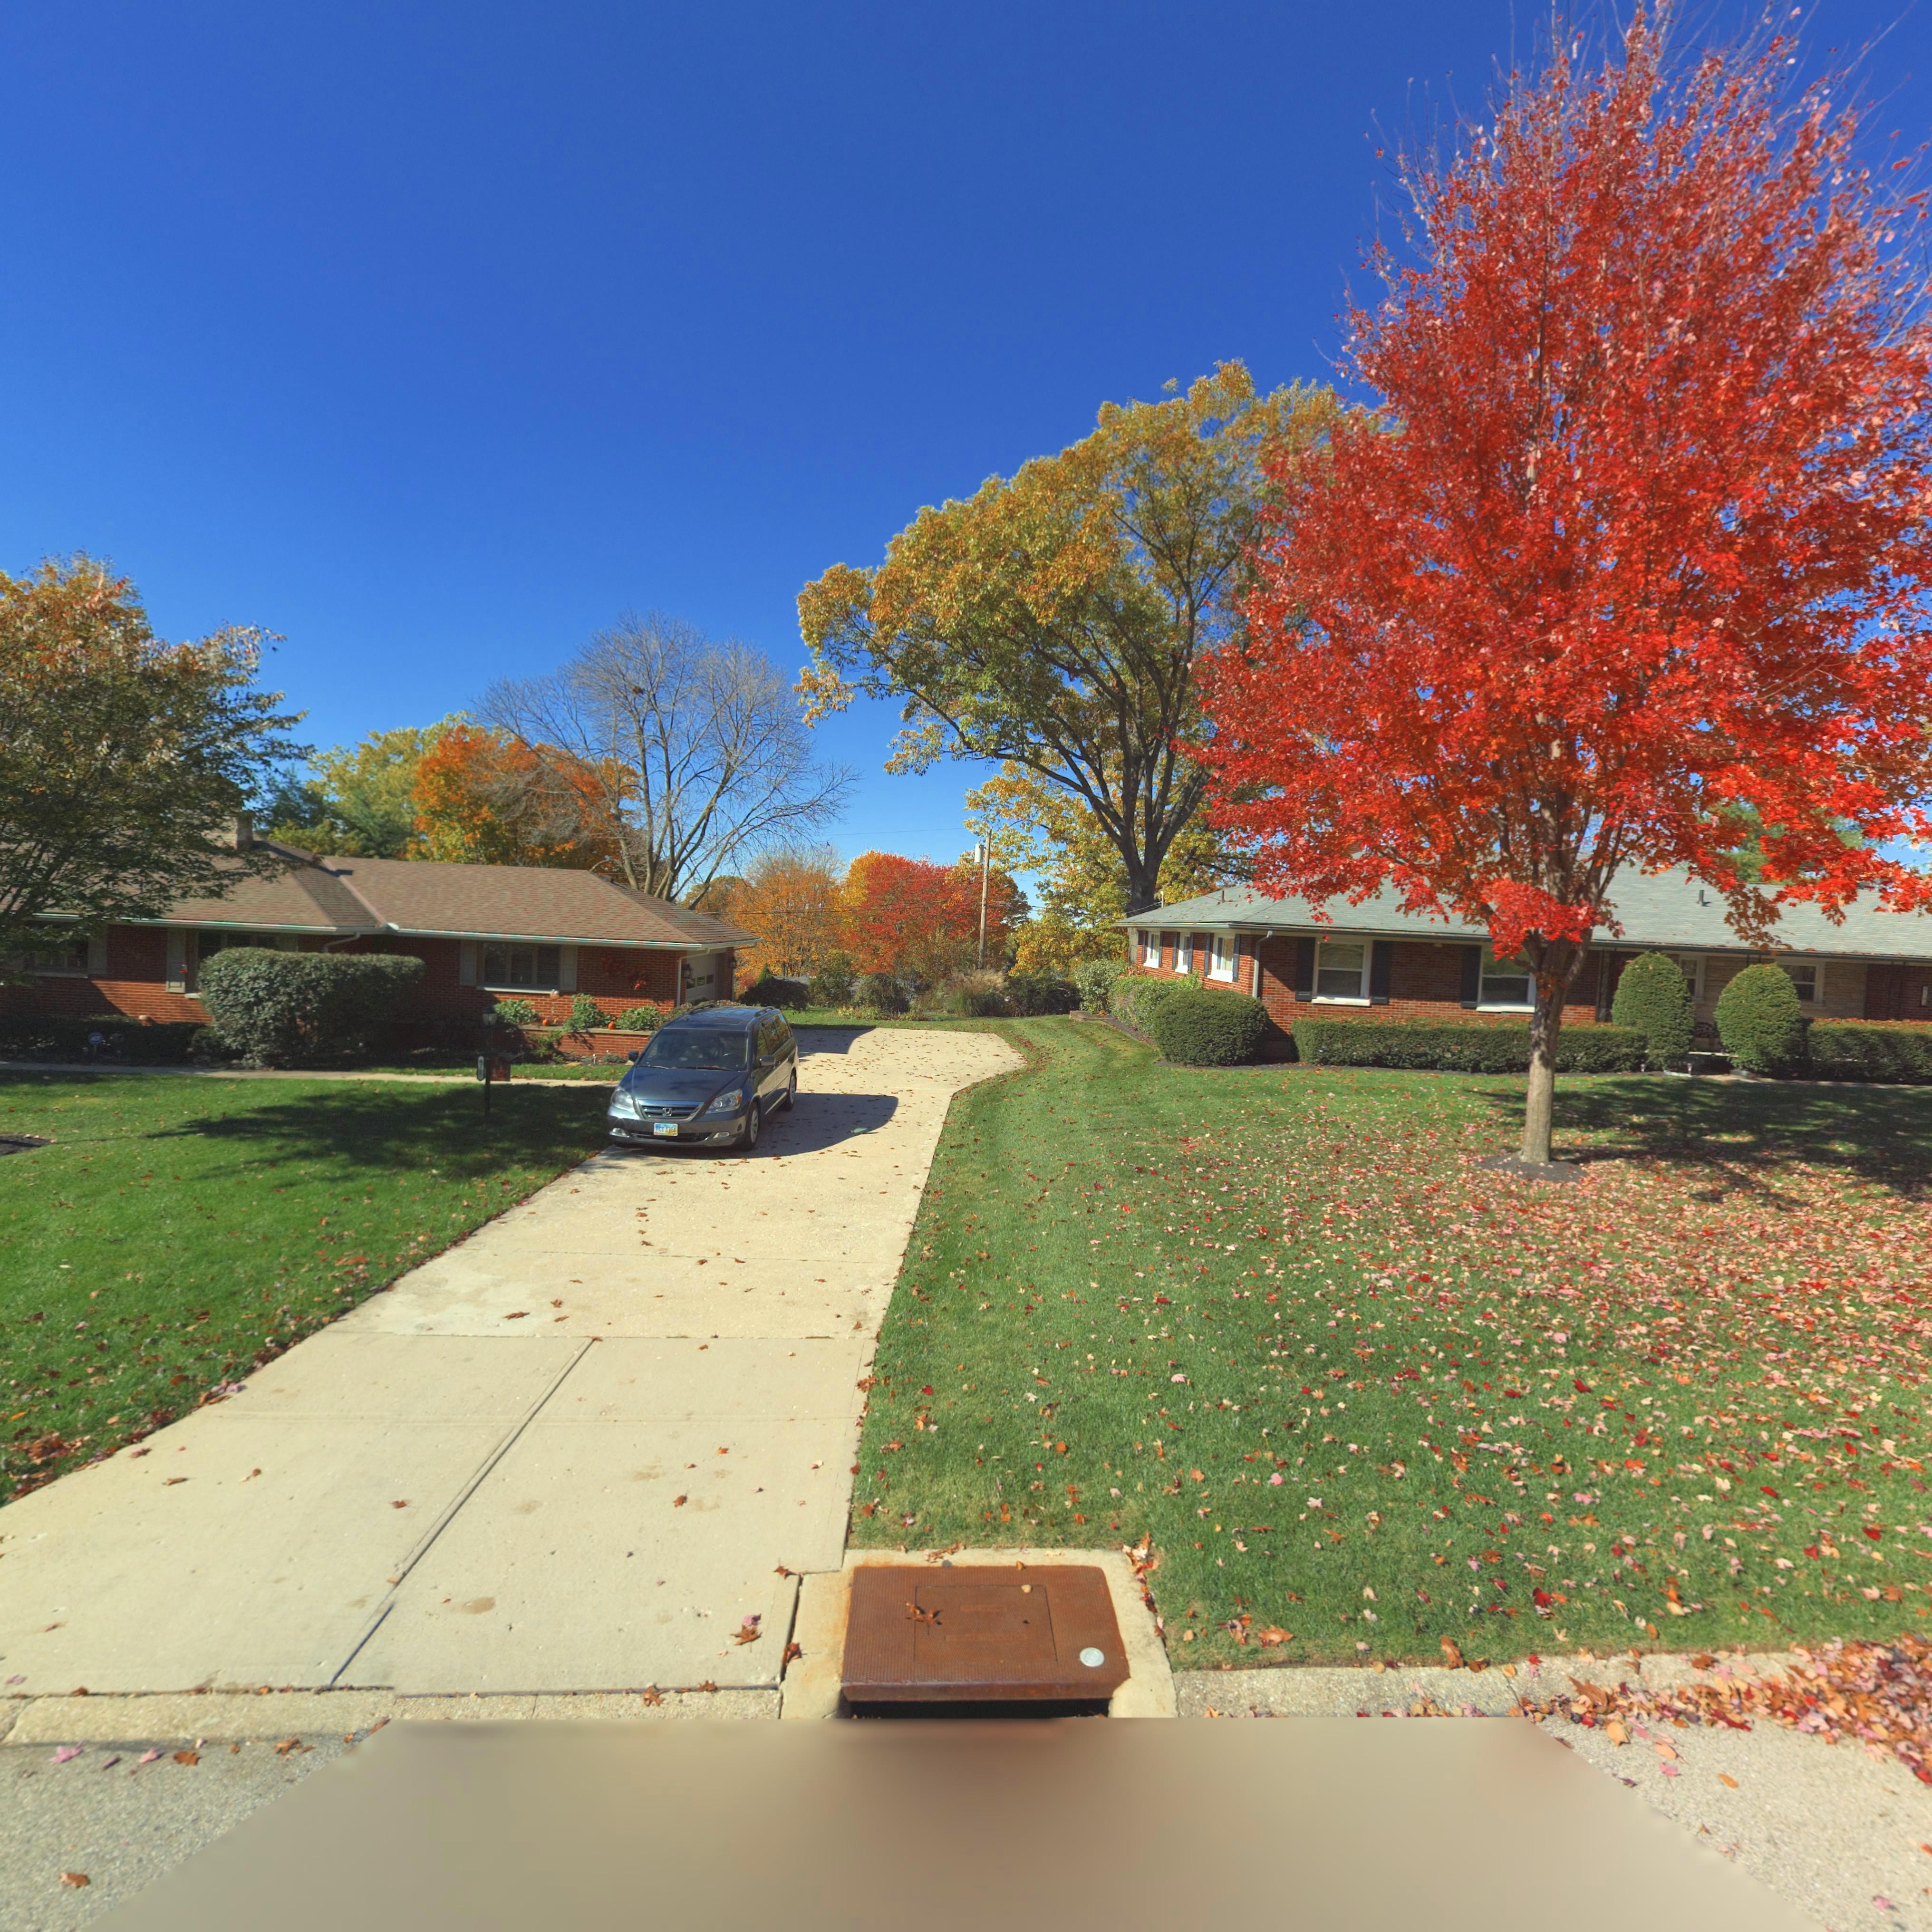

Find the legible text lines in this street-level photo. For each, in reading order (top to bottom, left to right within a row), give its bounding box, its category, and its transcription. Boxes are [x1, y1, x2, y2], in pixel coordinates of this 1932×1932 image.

[1922, 986, 1927, 1005] StreetNumber: 4***
[478, 1058, 483, 1078] StreetNumber: 4***